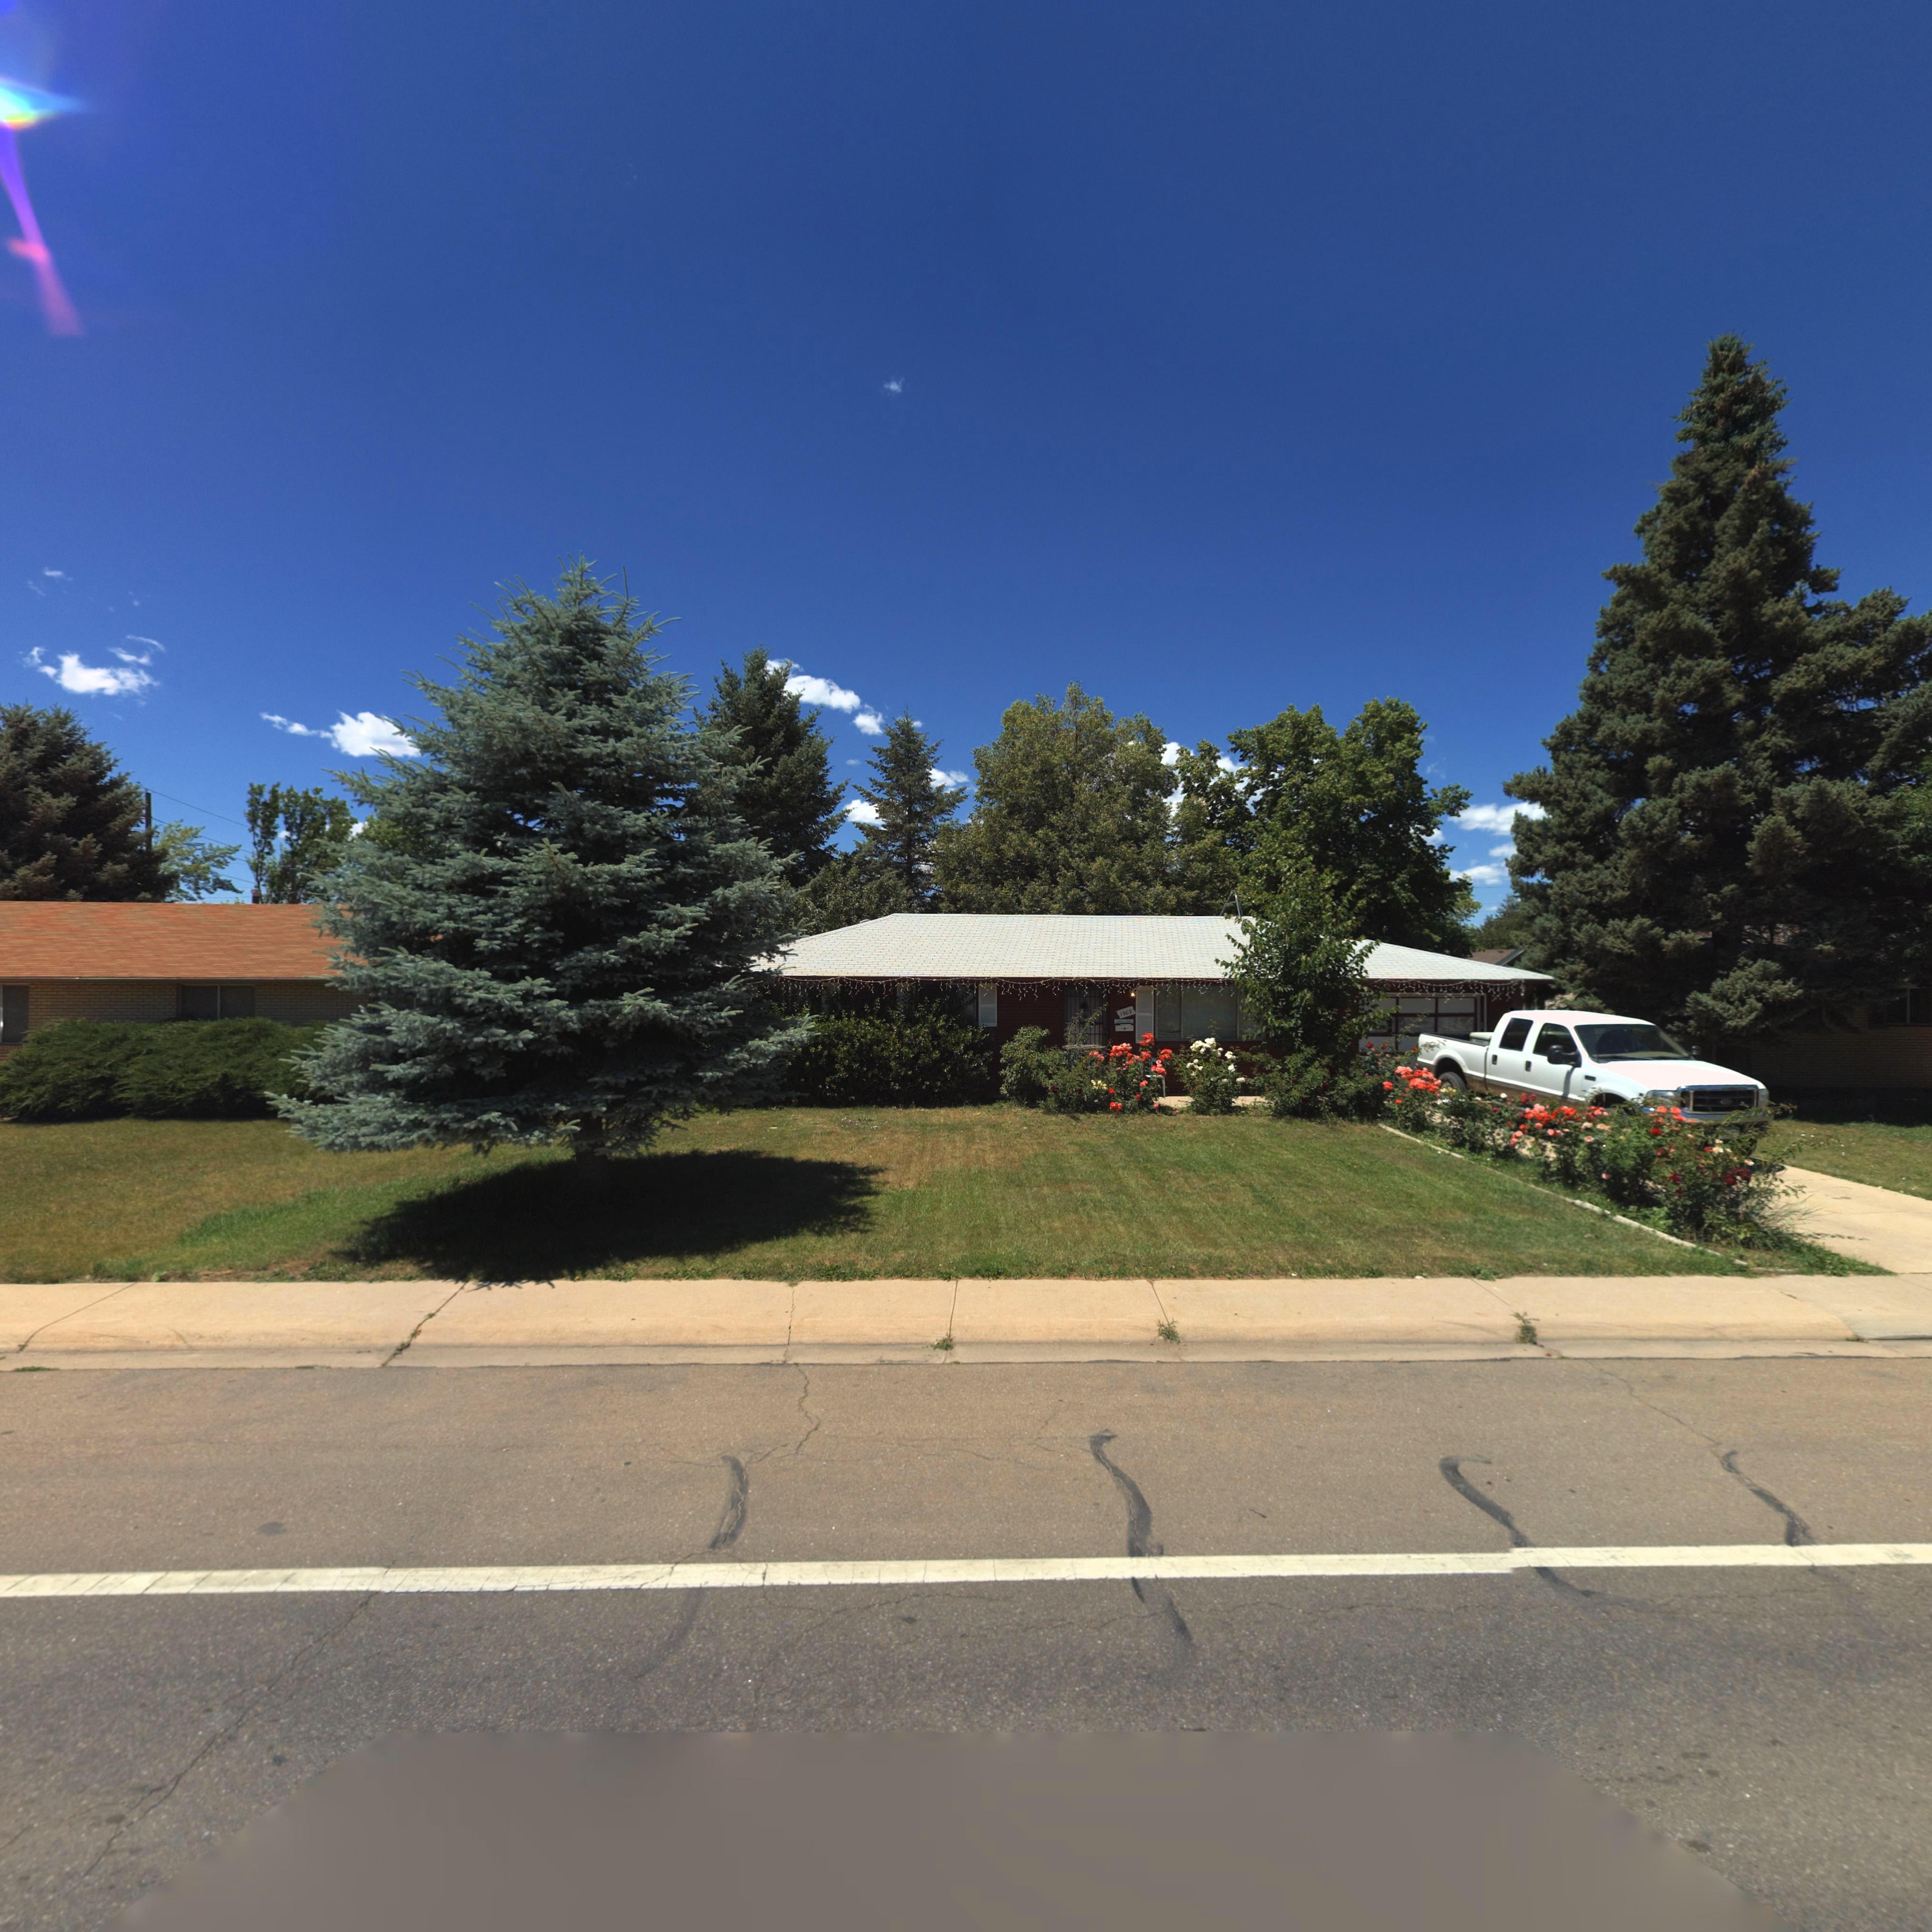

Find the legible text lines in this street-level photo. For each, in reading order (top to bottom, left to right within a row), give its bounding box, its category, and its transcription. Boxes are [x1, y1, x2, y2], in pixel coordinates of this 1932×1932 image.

[1119, 1008, 1132, 1017] StreetNumber: 1909